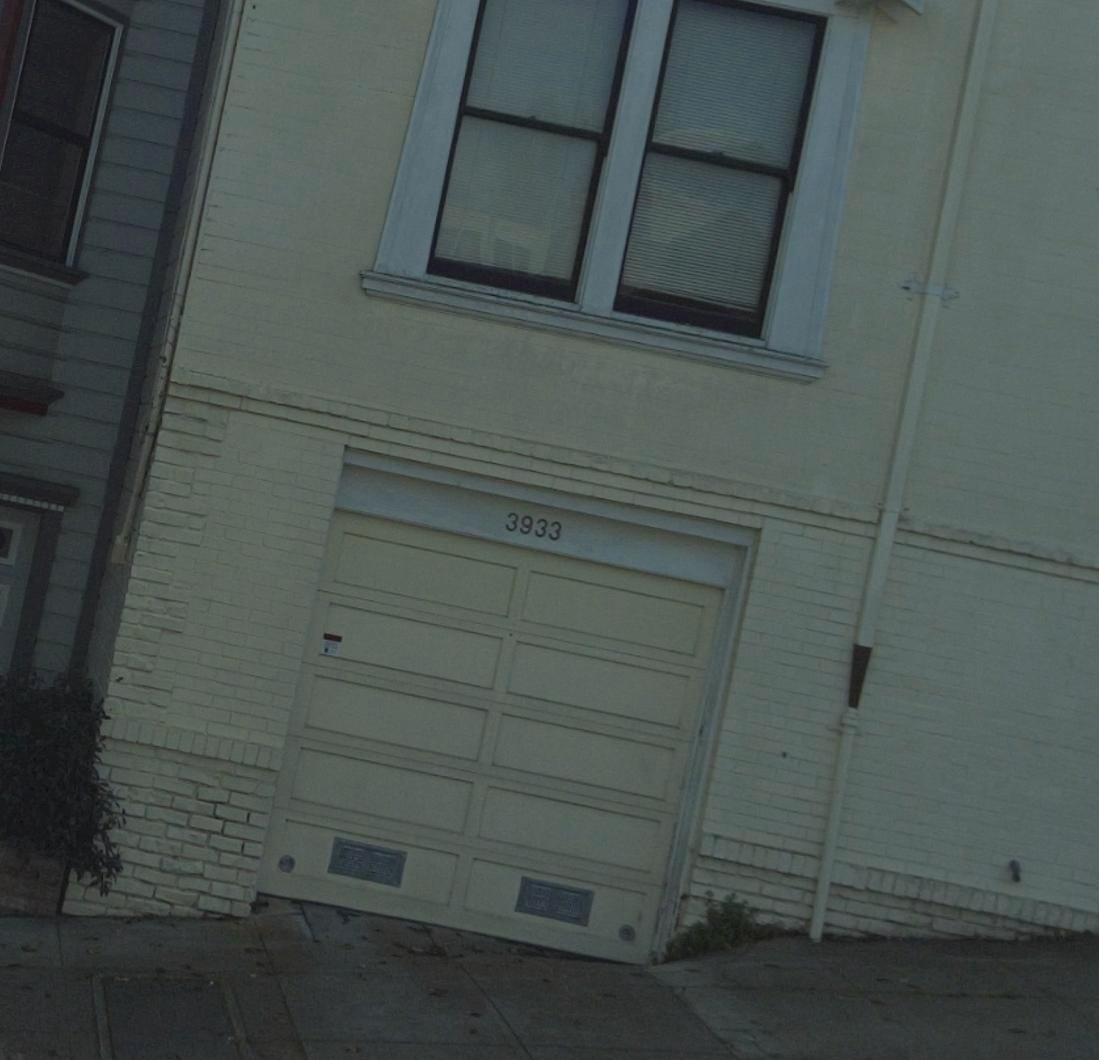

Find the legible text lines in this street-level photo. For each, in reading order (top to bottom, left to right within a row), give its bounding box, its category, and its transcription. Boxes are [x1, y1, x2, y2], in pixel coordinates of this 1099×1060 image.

[504, 511, 563, 543] StreetNumber: 3933